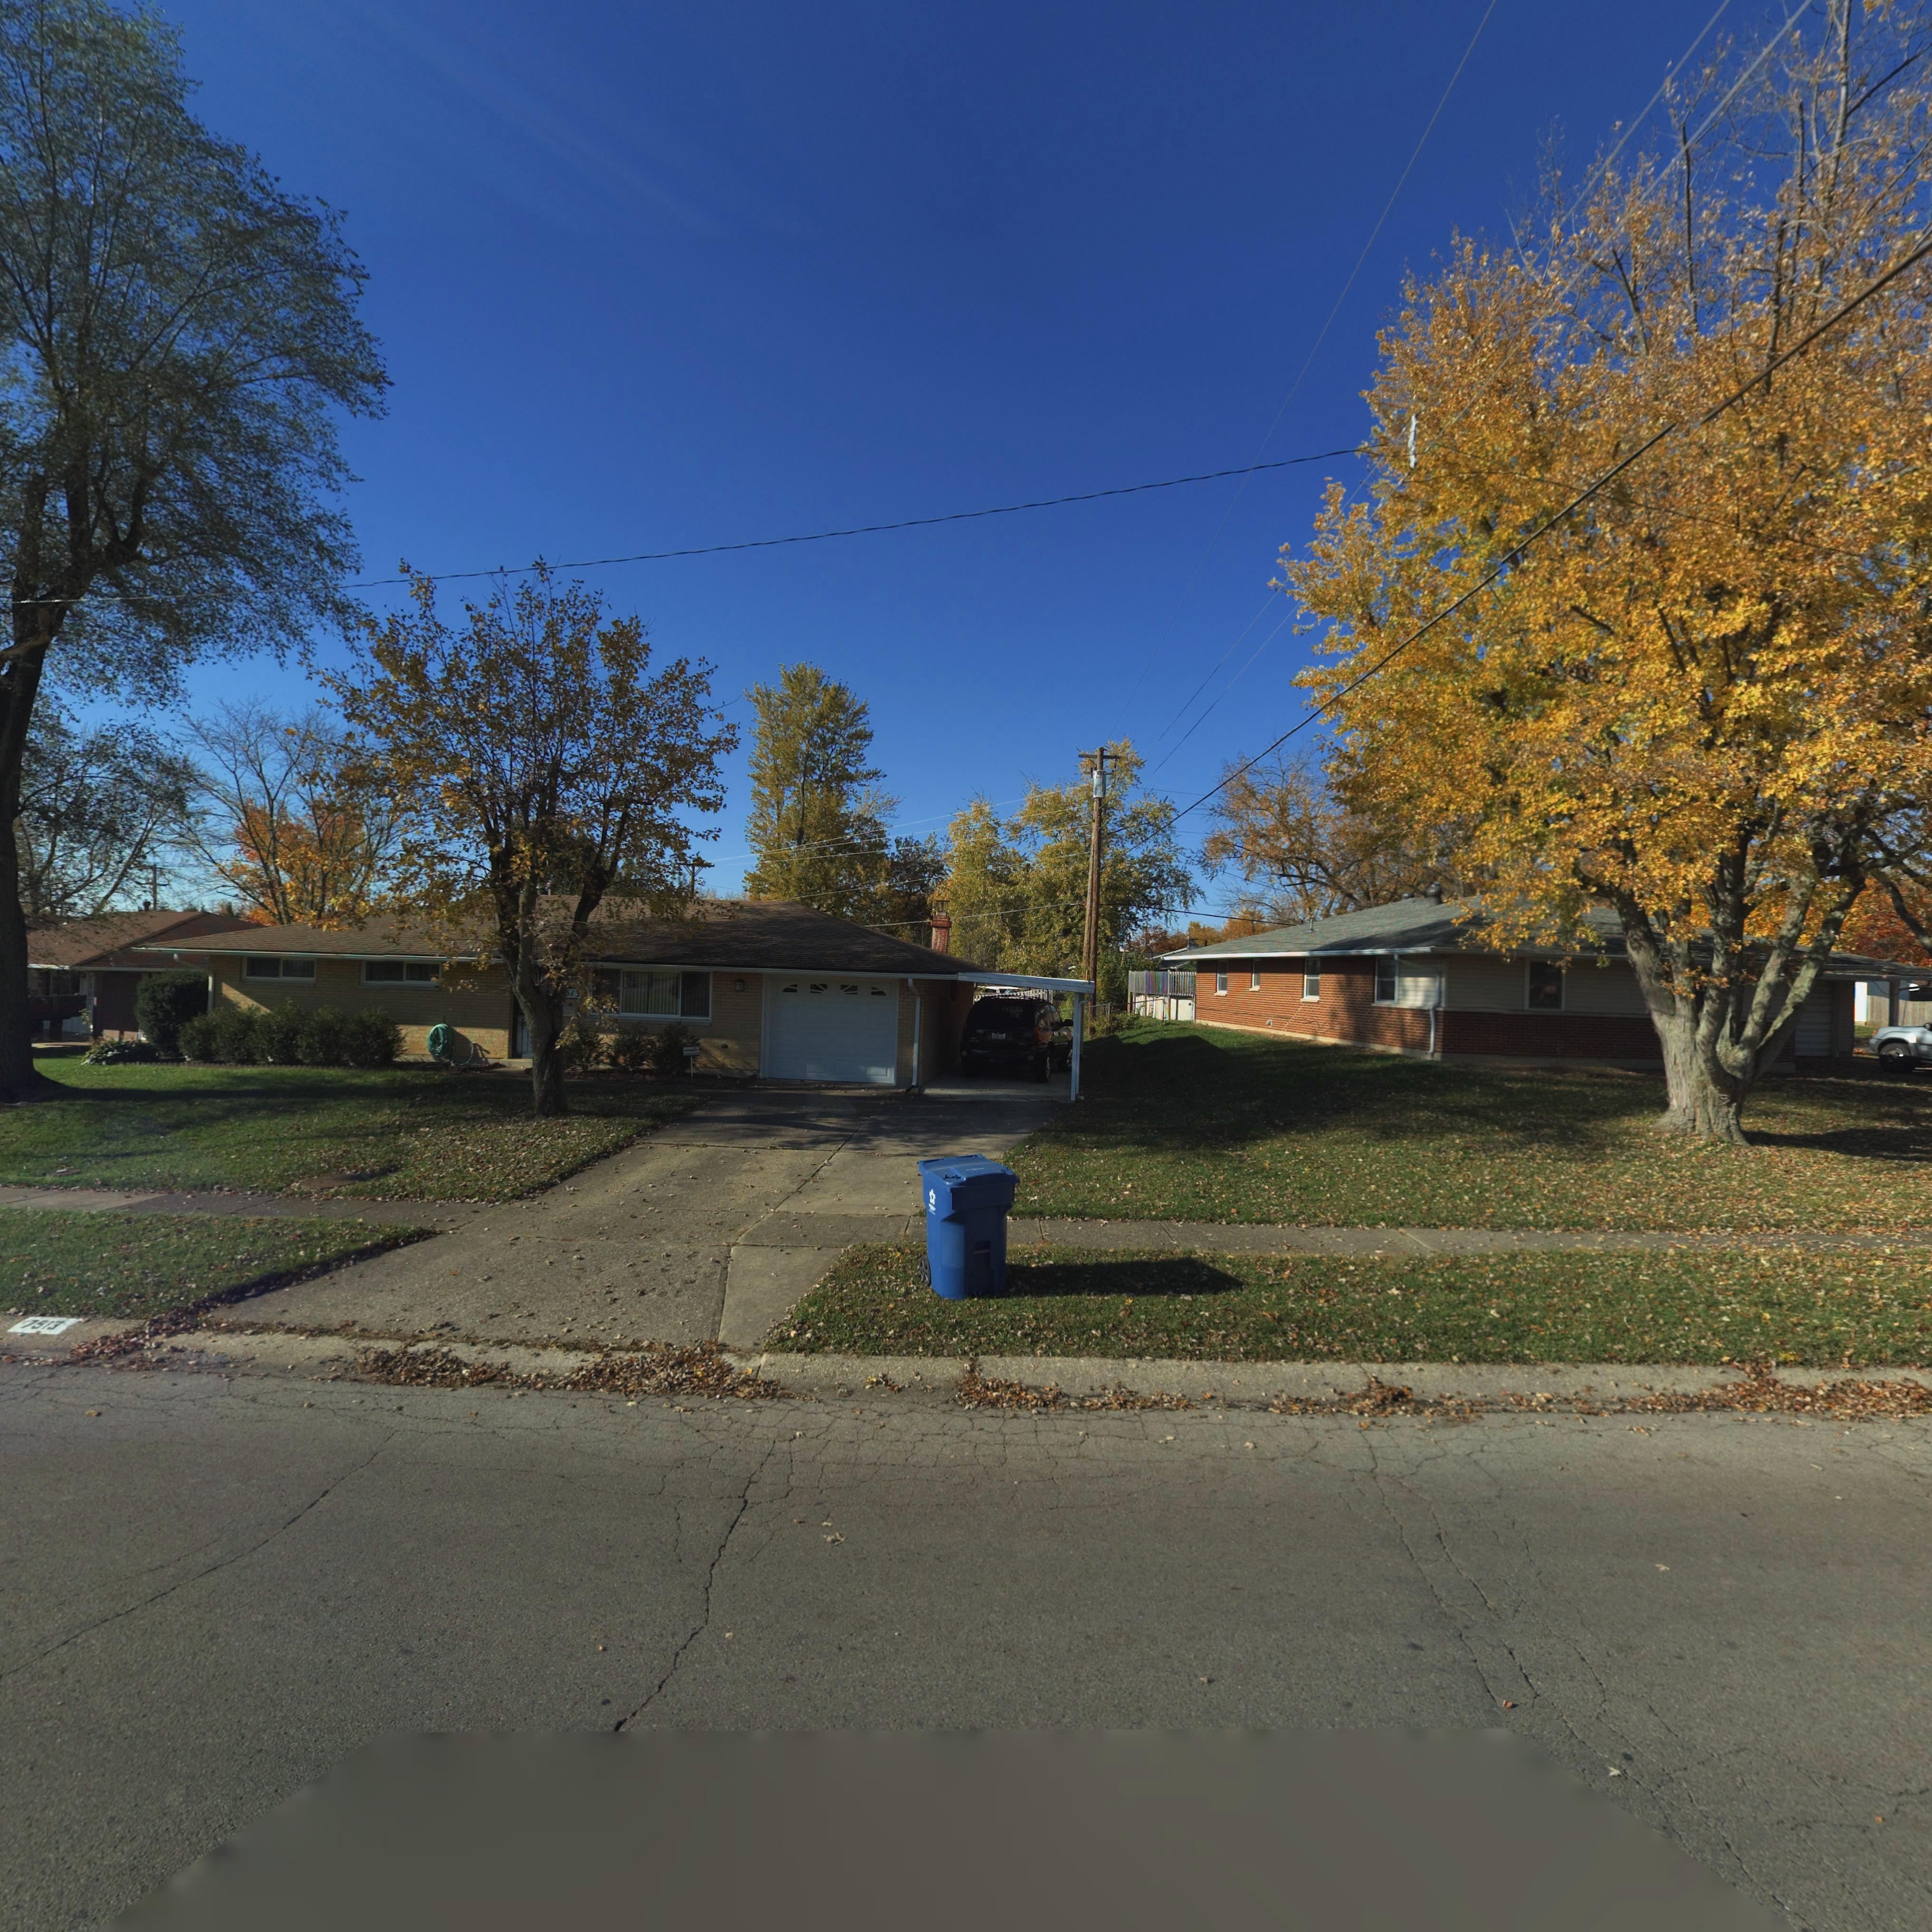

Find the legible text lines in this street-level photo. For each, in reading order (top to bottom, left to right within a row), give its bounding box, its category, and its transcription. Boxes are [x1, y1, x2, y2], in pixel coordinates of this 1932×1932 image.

[569, 989, 581, 998] StreetNumber: 13
[19, 1318, 67, 1331] StreetNumber: 7513